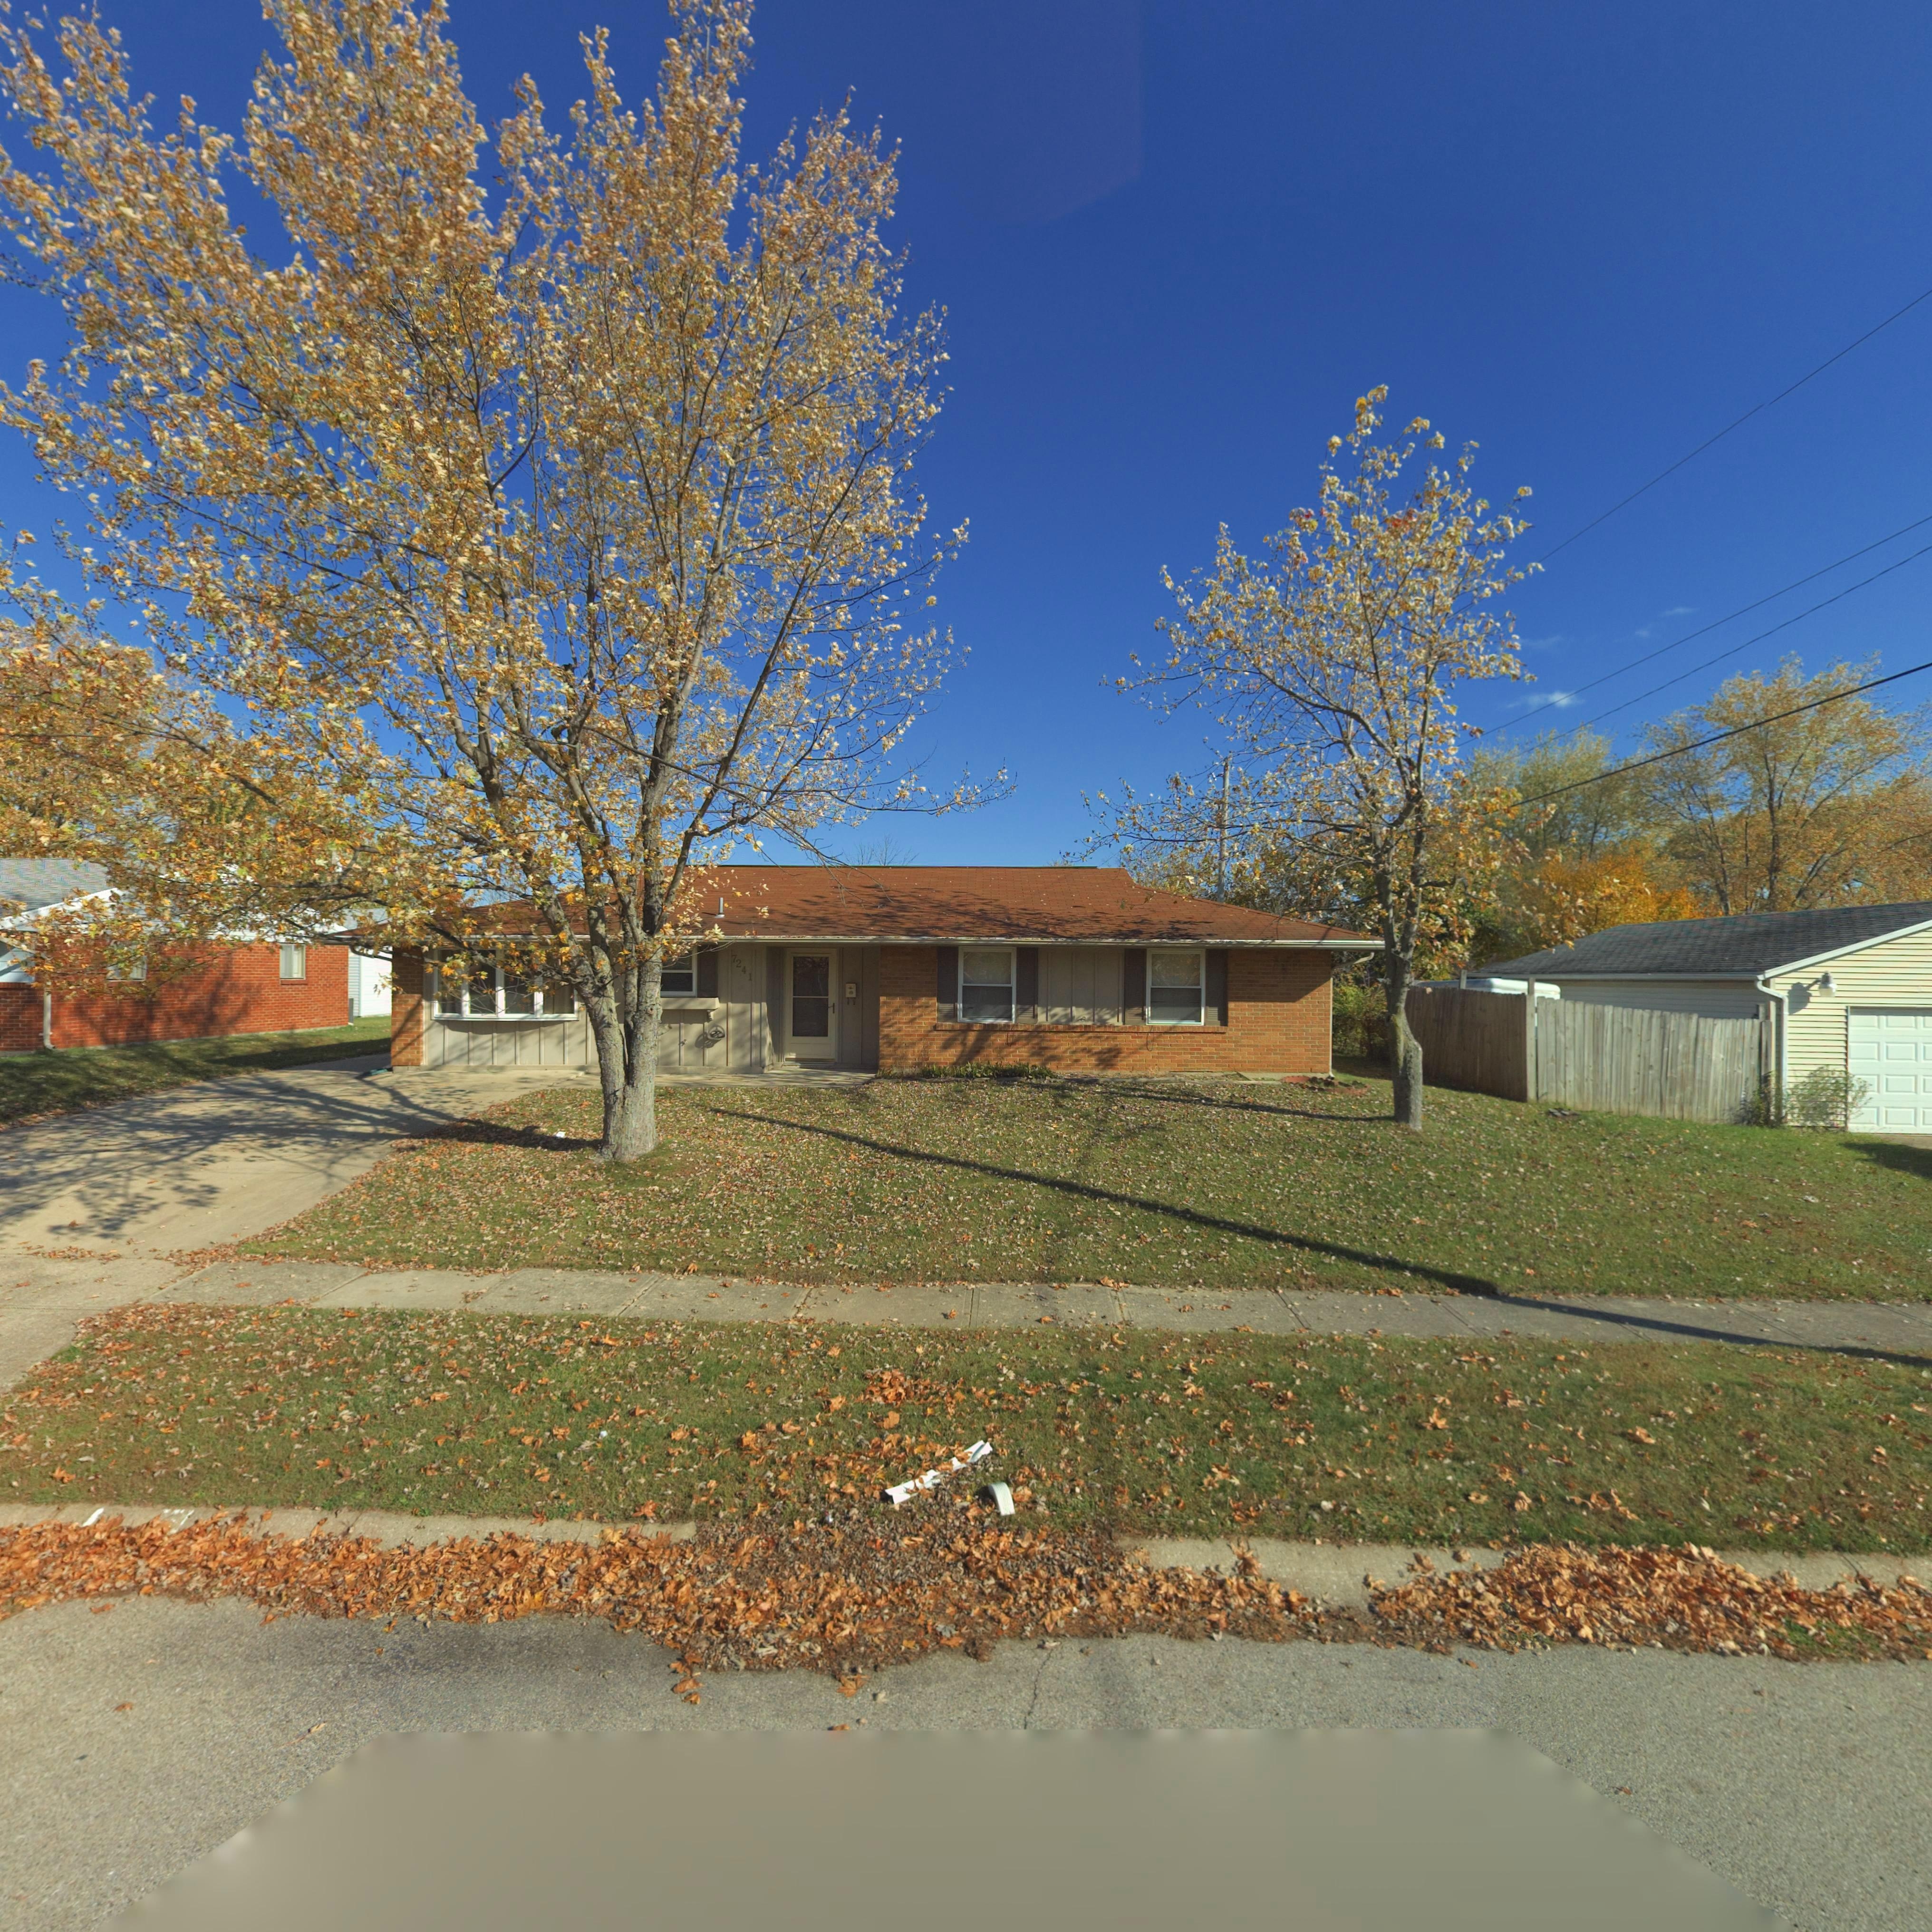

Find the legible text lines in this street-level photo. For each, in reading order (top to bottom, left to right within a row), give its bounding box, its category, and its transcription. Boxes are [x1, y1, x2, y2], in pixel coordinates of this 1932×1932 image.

[731, 954, 753, 982] StreetNumber: 7241